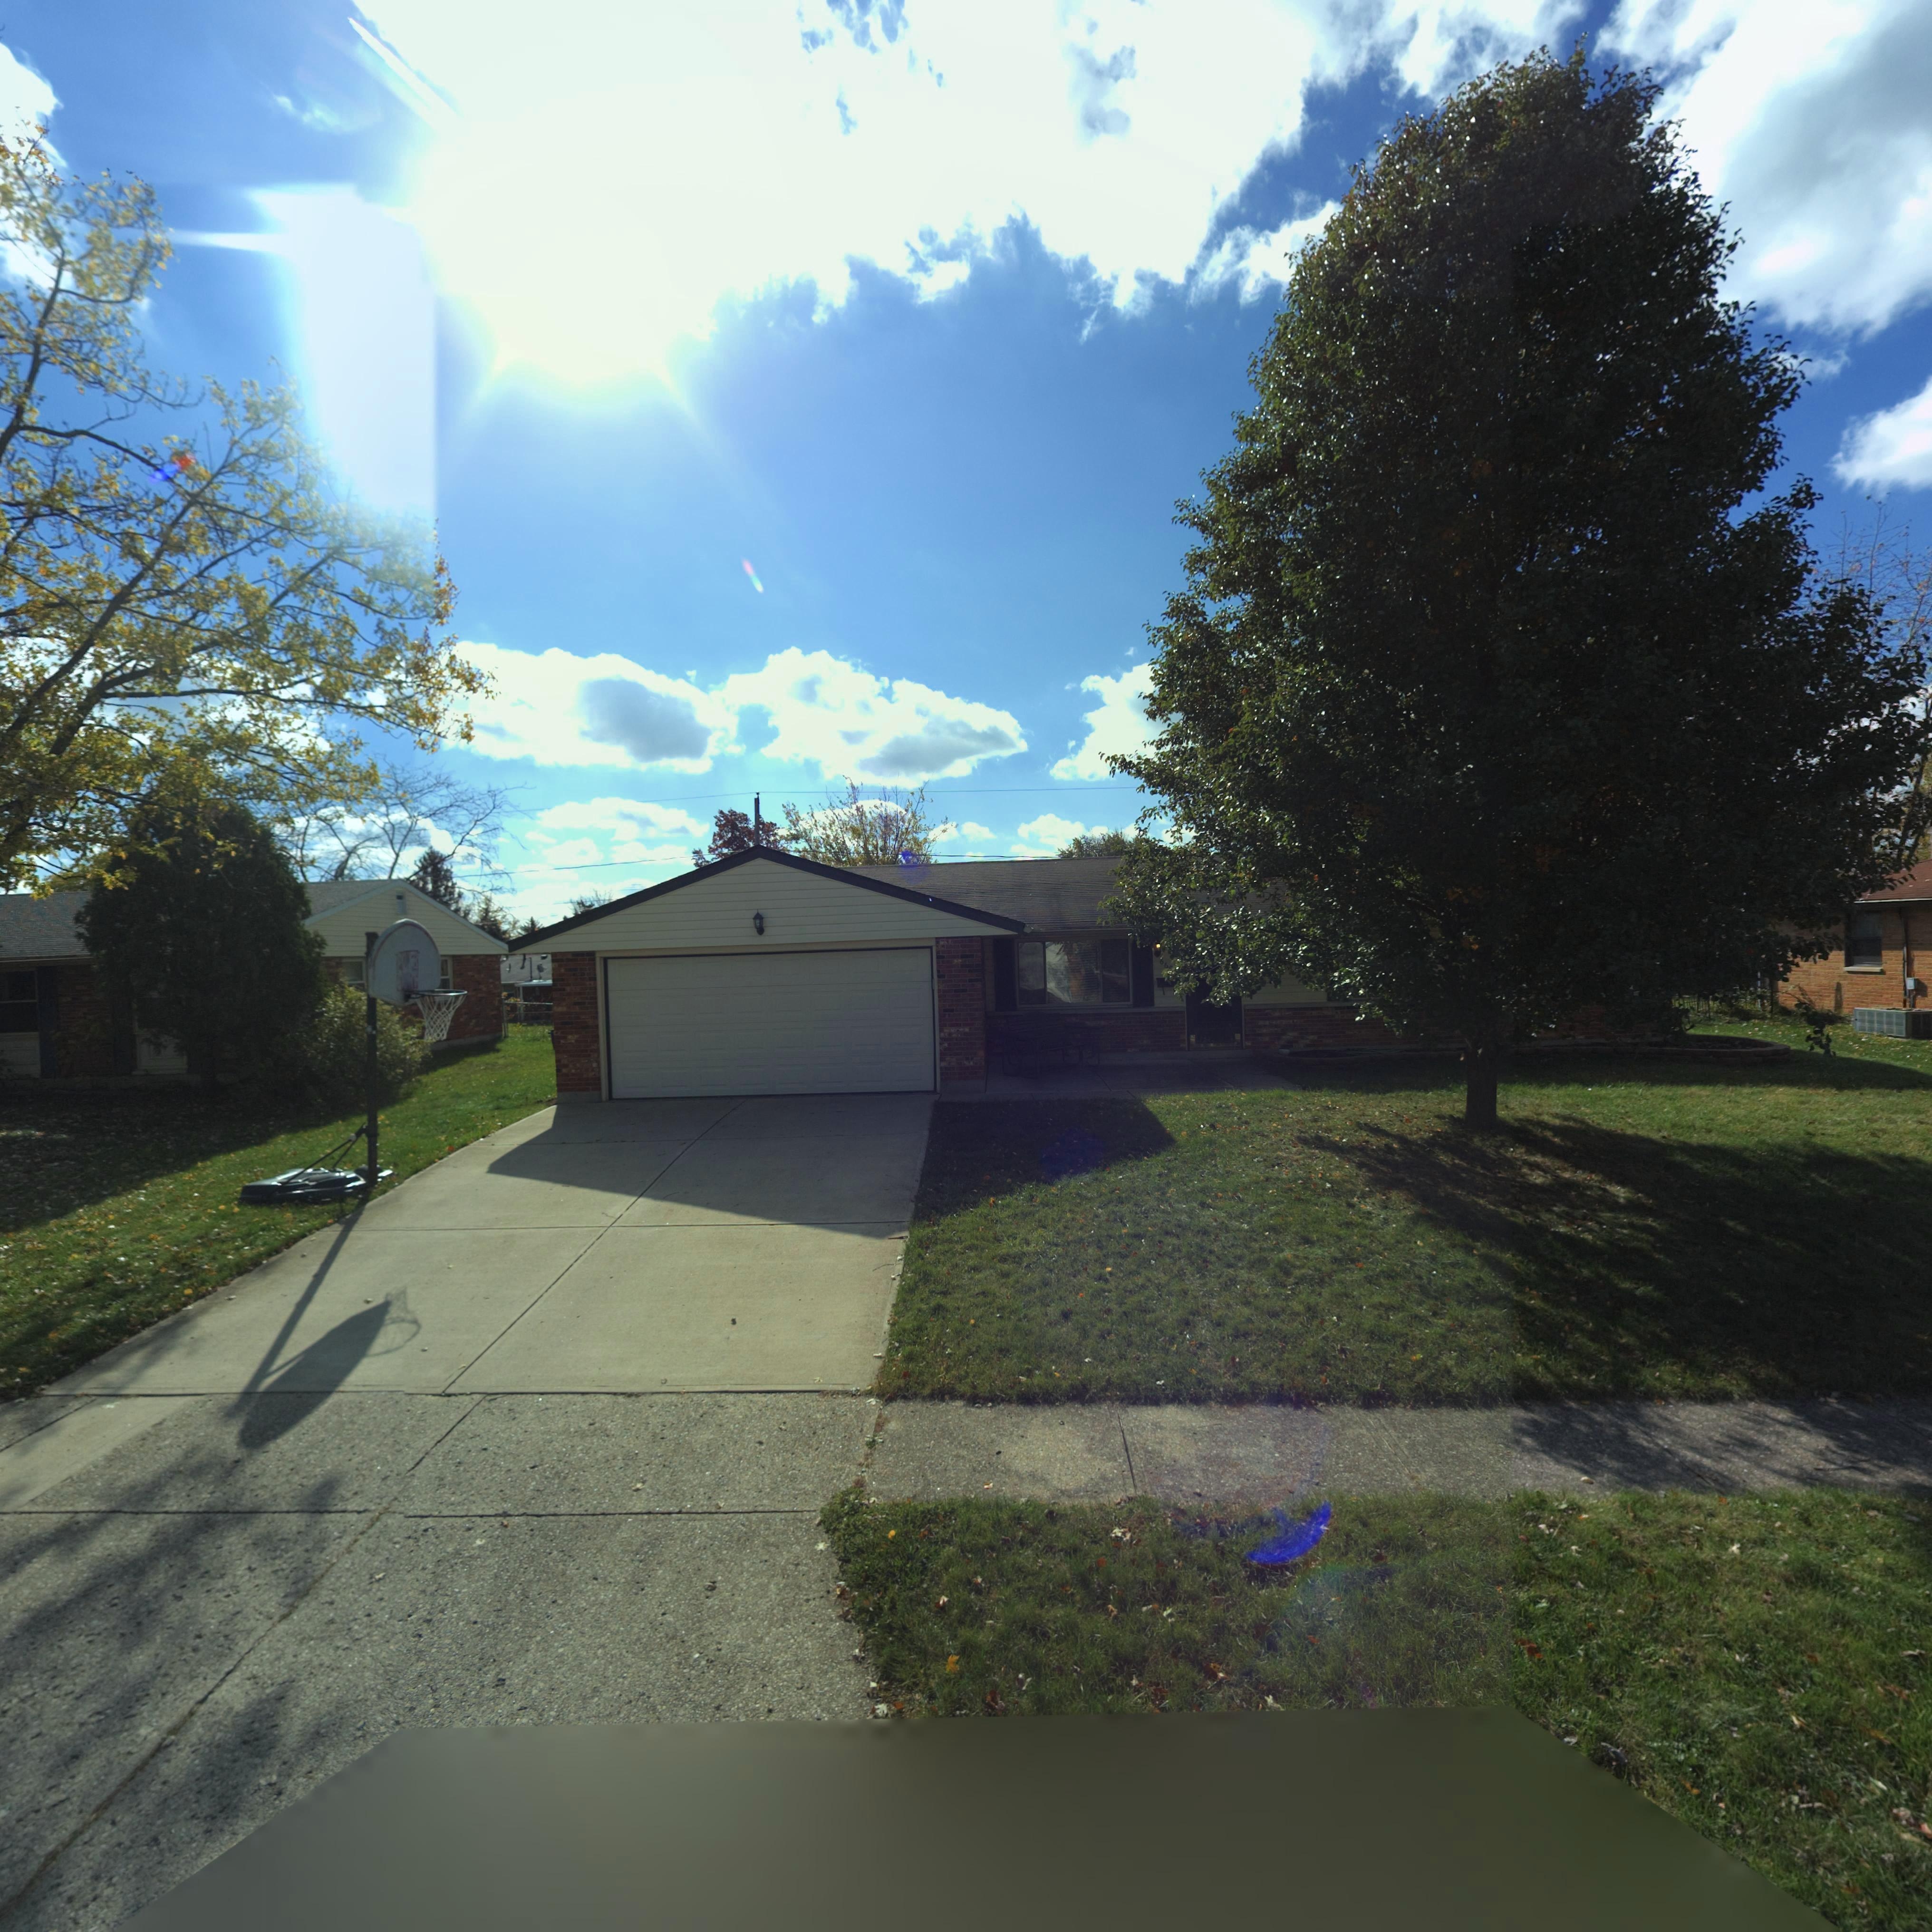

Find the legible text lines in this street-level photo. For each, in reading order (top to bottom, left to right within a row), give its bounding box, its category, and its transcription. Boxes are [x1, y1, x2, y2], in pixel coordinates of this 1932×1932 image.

[1159, 957, 1169, 969] StreetNumber: 66